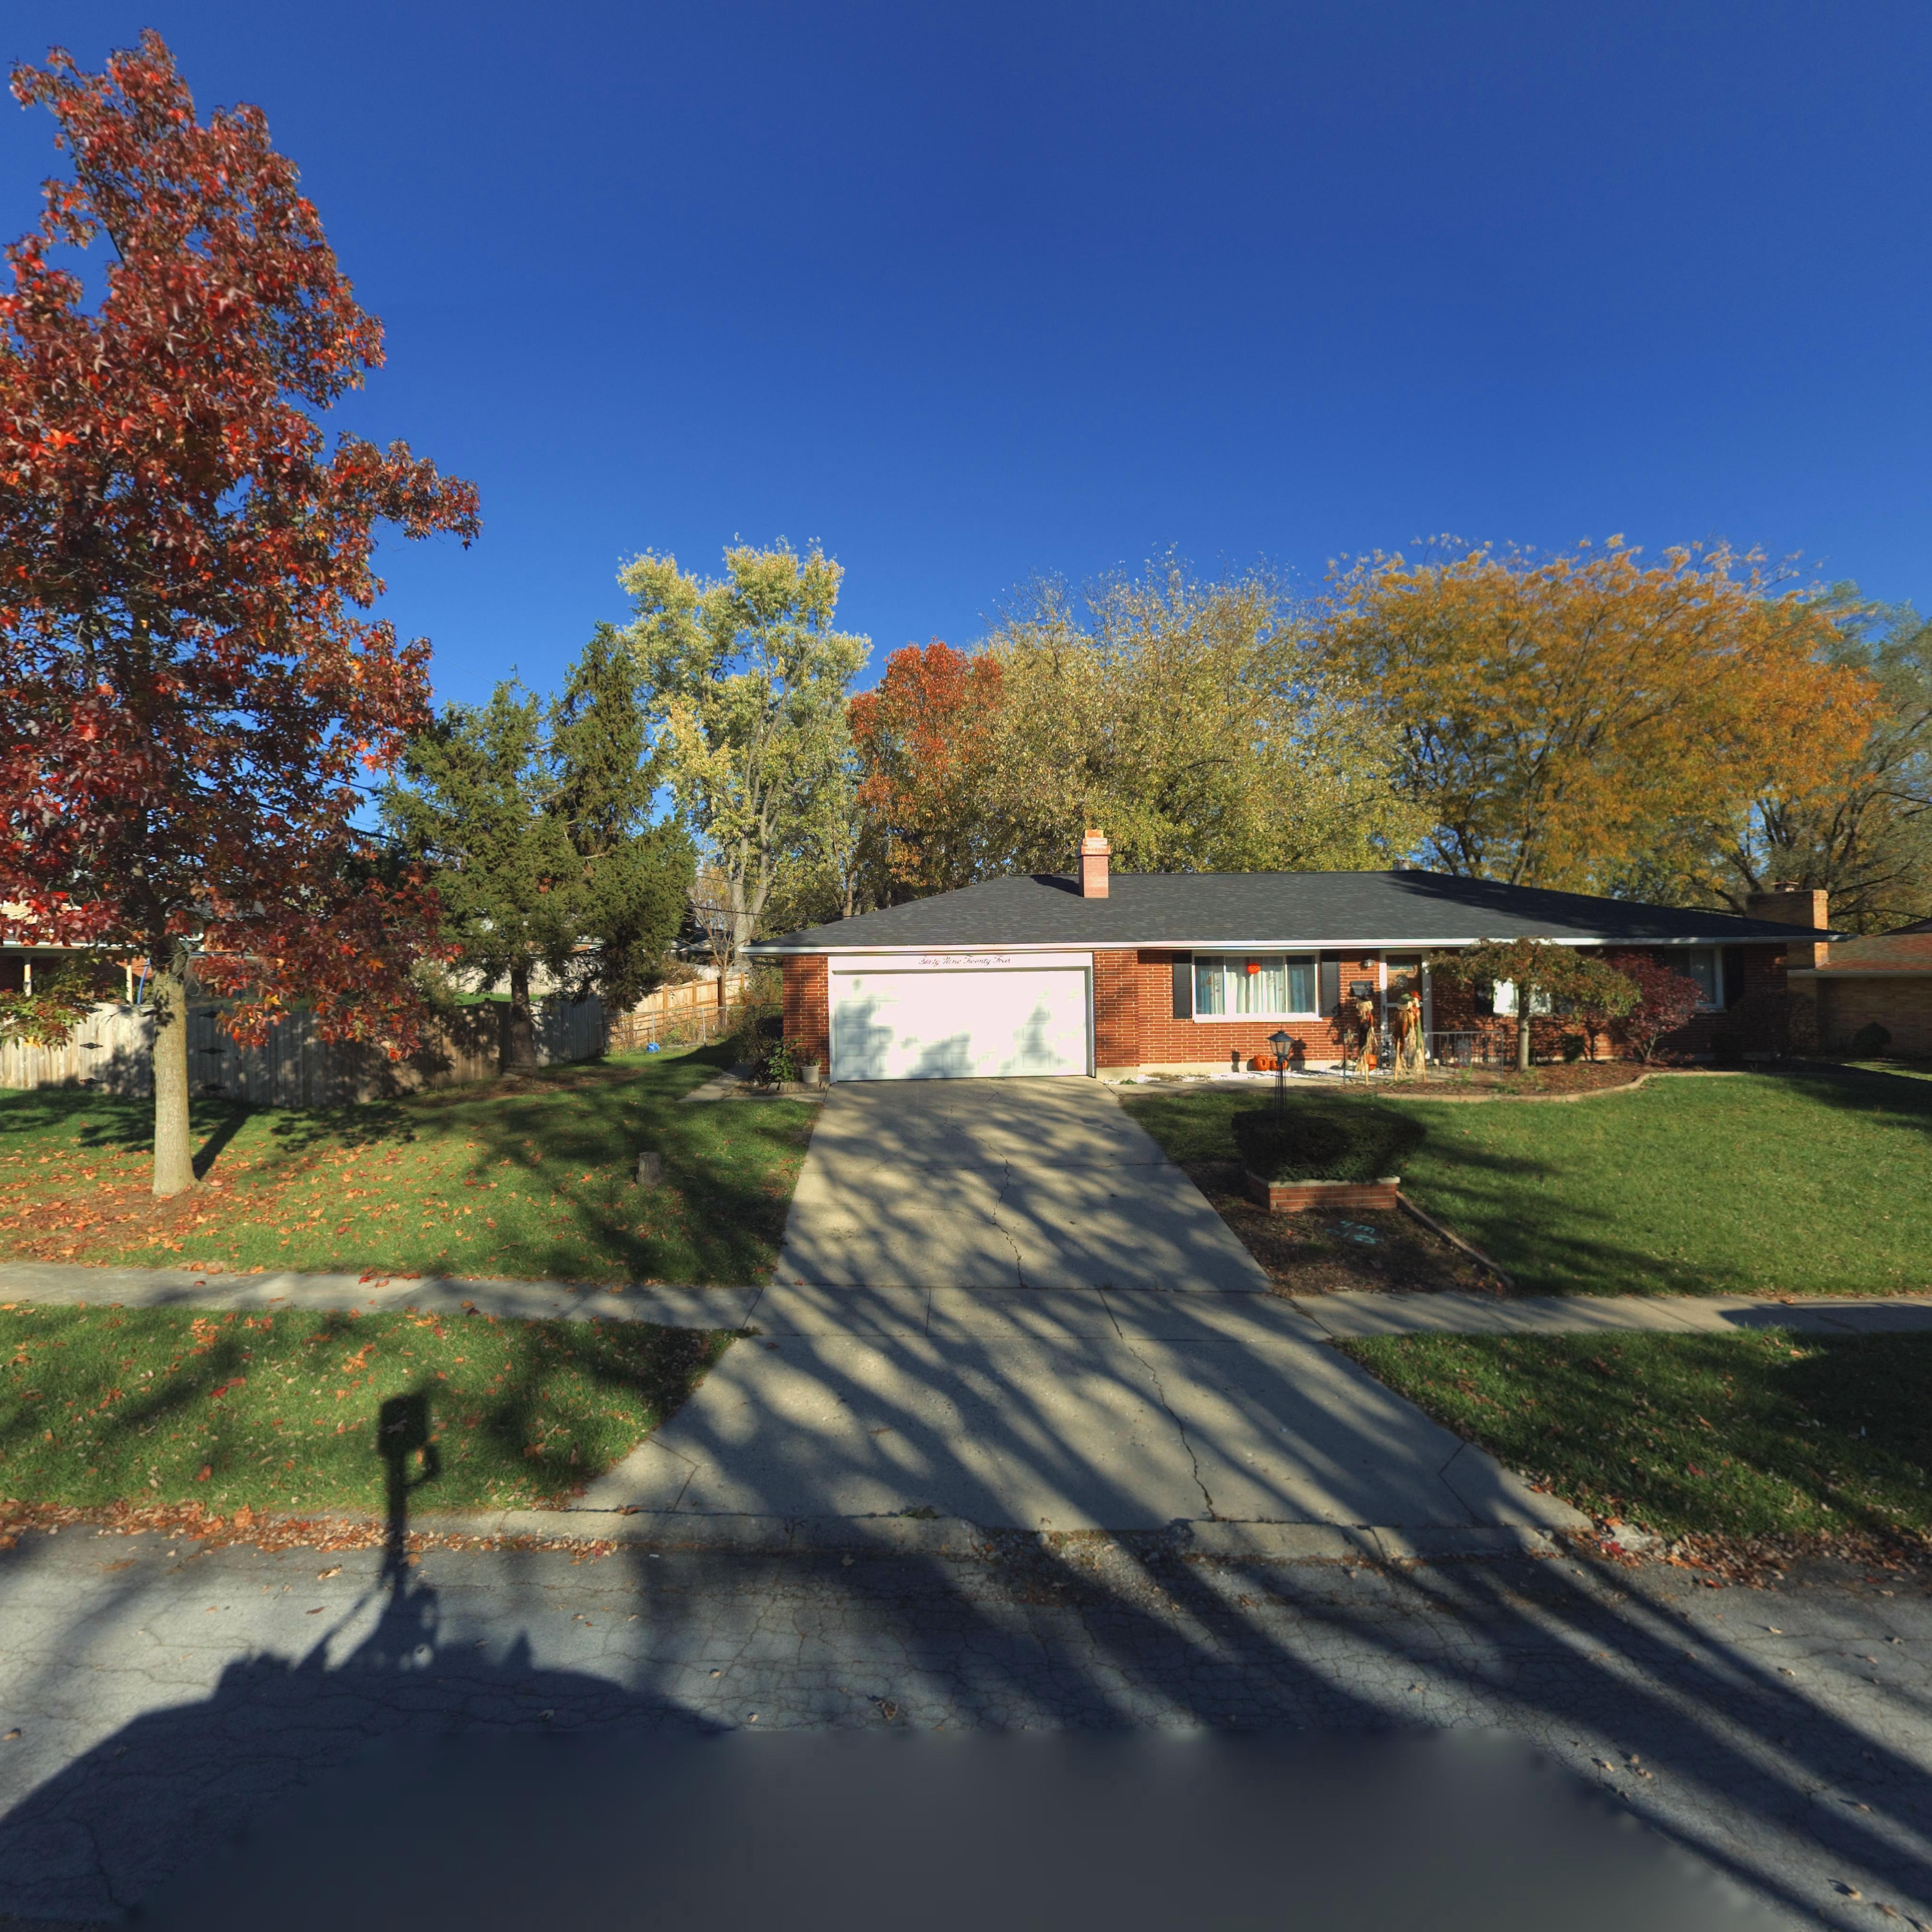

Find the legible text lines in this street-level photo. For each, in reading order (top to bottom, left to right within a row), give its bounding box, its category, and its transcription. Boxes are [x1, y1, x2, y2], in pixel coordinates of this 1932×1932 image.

[918, 954, 1011, 968] StreetNumber: Sixty Nine Twenty Four